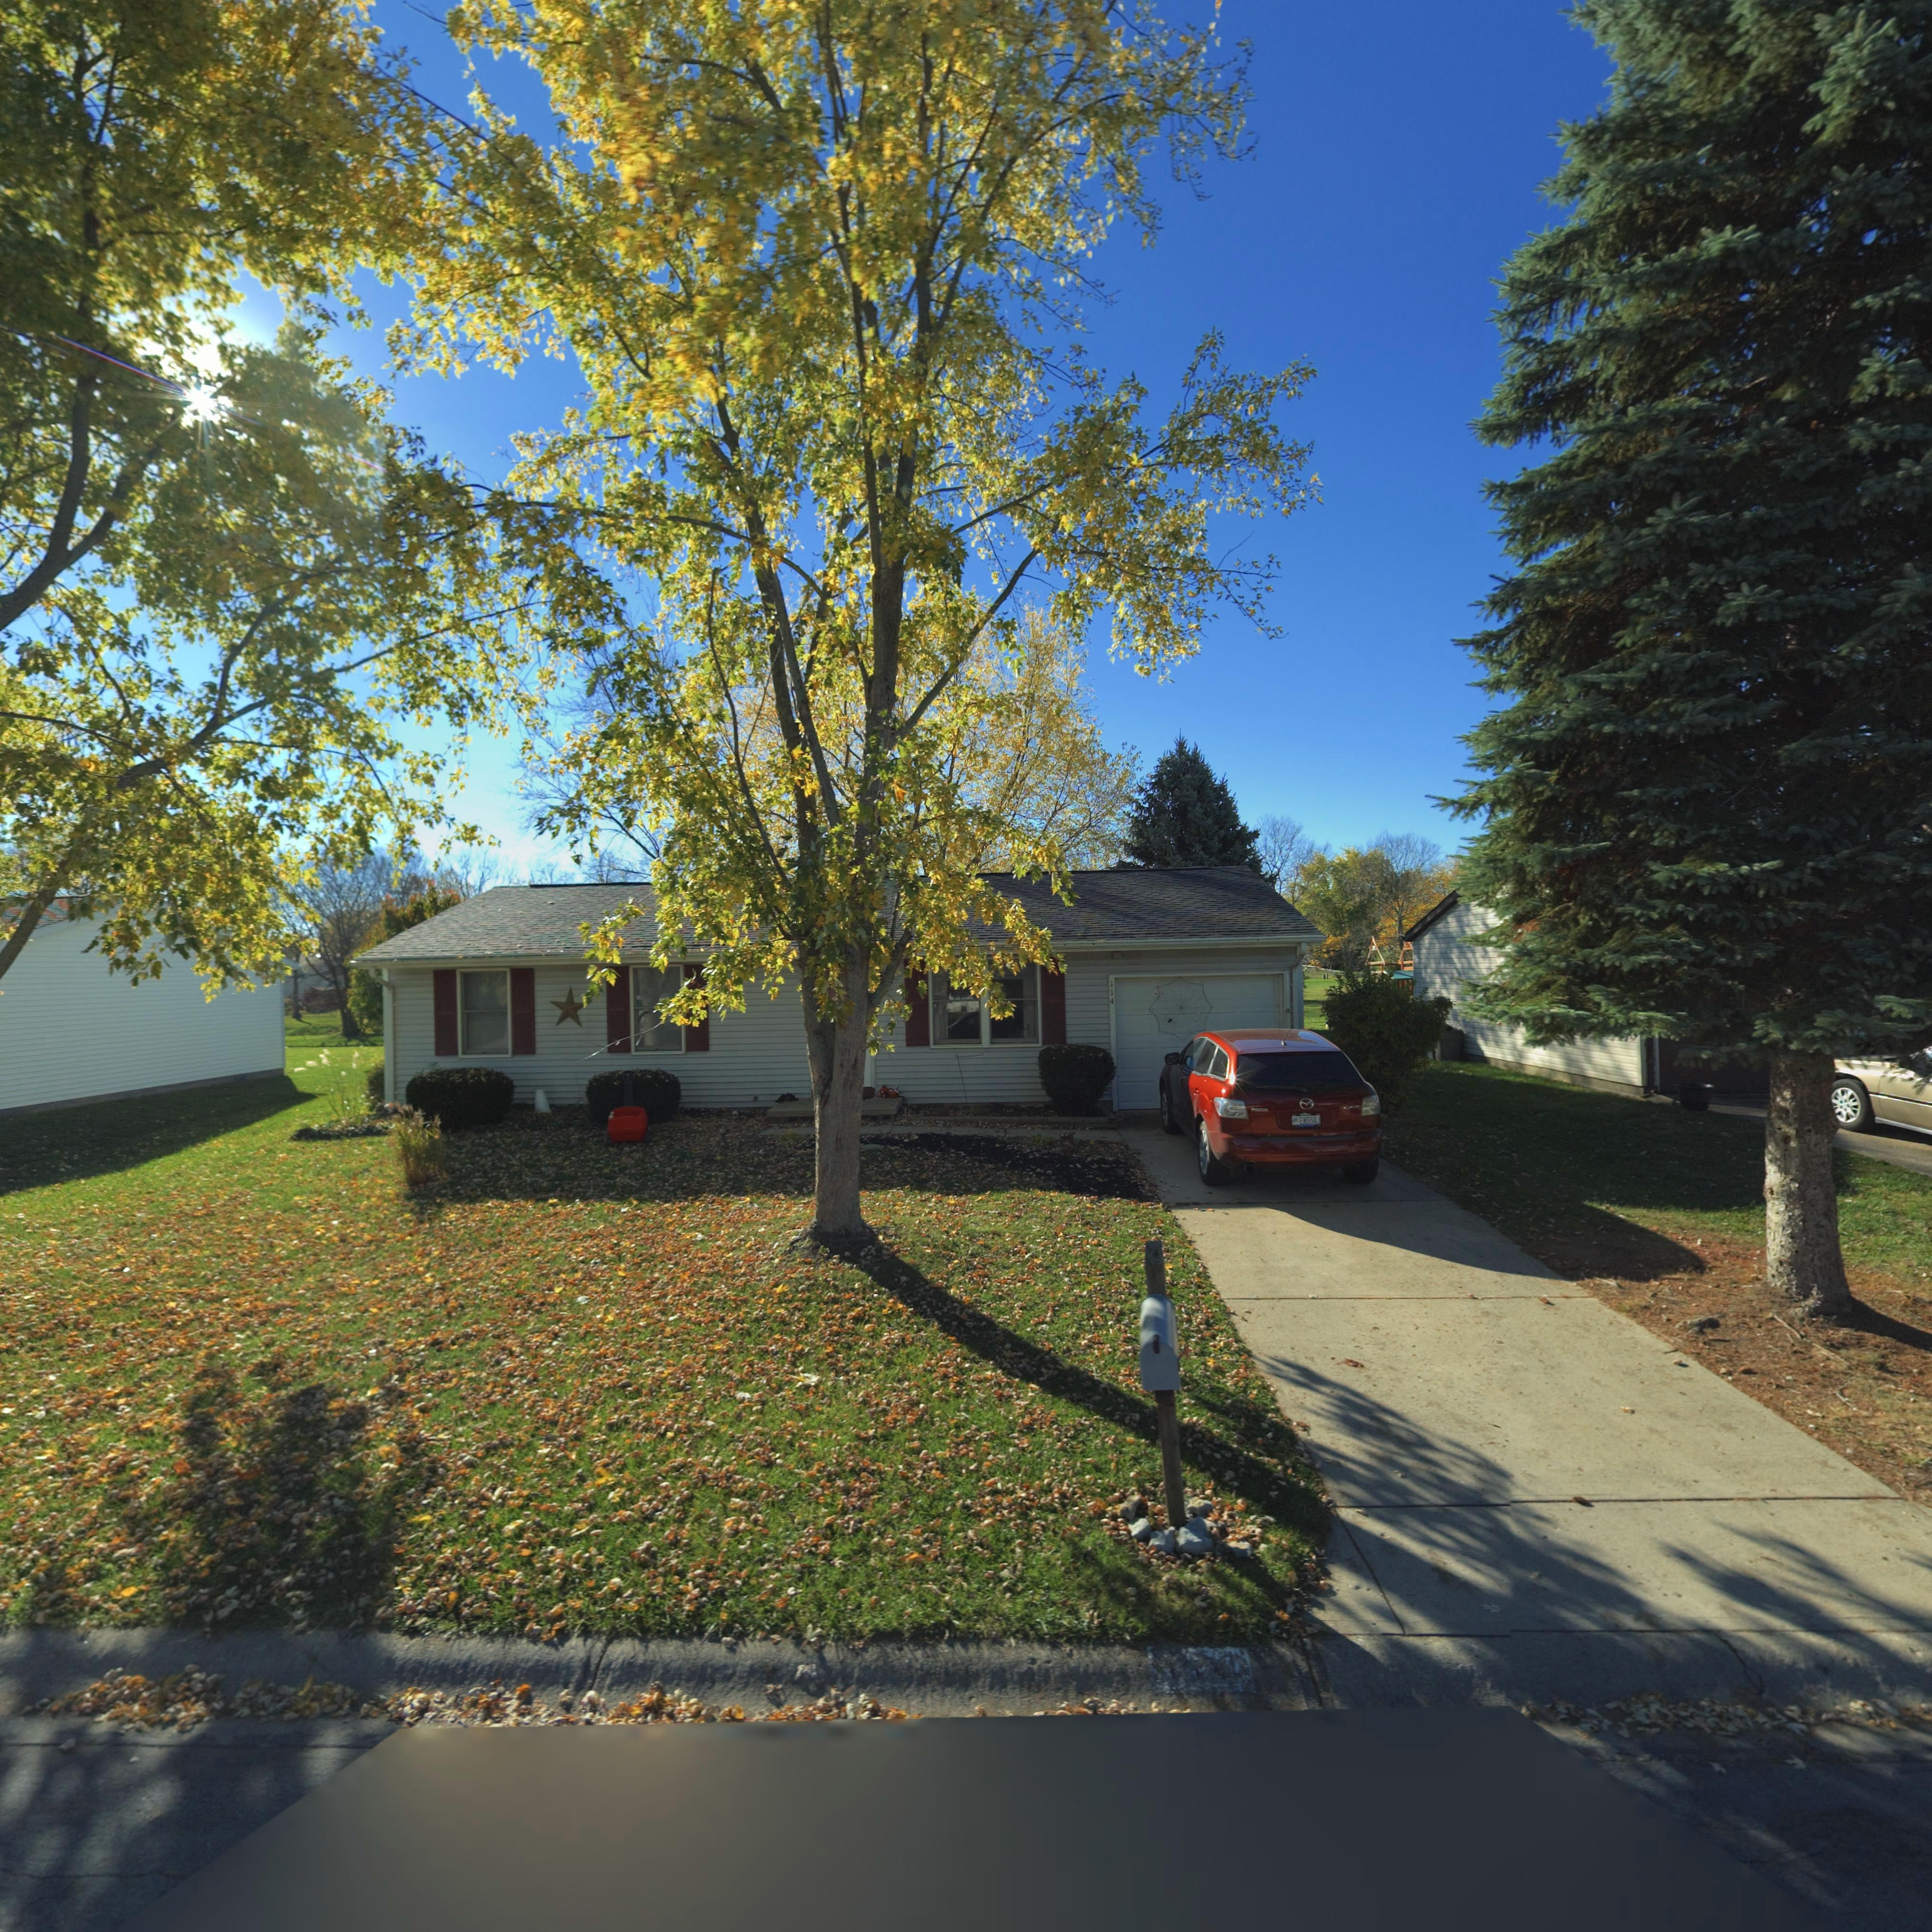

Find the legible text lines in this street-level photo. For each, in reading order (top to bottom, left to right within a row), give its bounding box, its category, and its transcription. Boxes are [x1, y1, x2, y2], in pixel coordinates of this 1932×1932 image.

[1110, 980, 1114, 1005] StreetNumber: 114